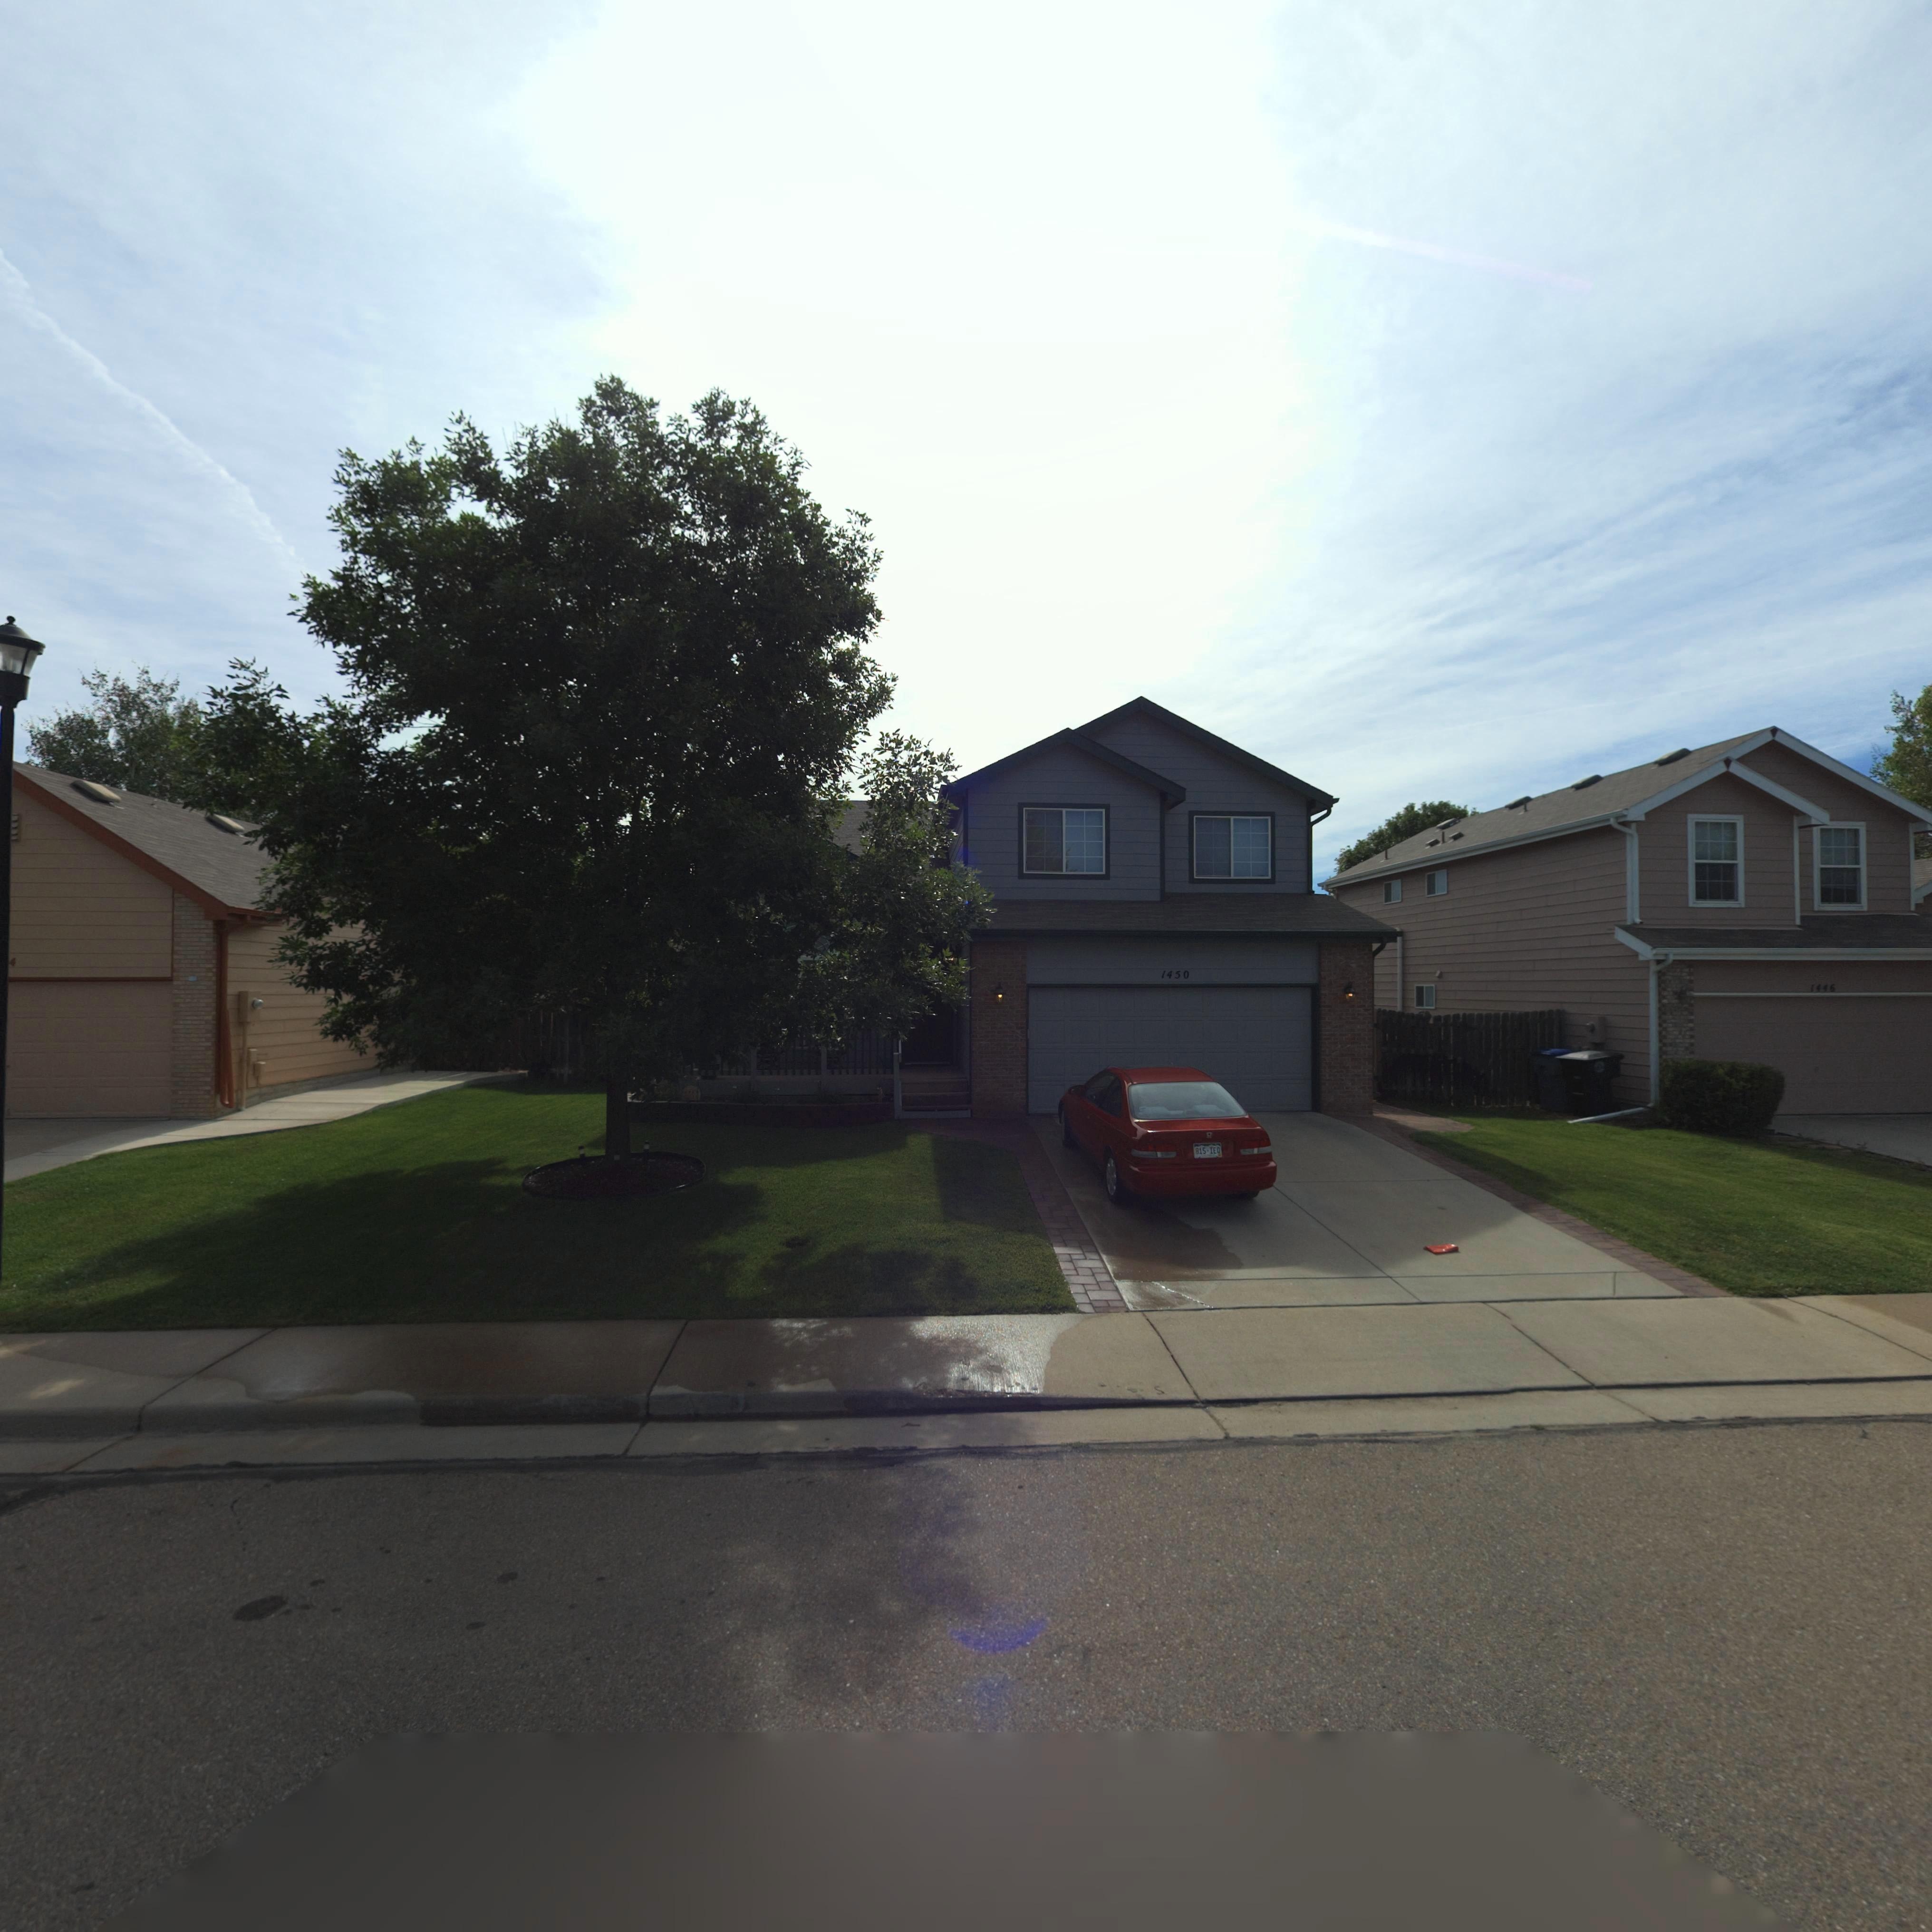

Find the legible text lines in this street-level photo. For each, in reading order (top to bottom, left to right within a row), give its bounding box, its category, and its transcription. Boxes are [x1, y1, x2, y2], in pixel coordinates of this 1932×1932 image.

[9, 956, 17, 966] StreetNumber: 4
[1160, 969, 1190, 979] StreetNumber: 1450
[1809, 983, 1835, 993] StreetNumber: 1446